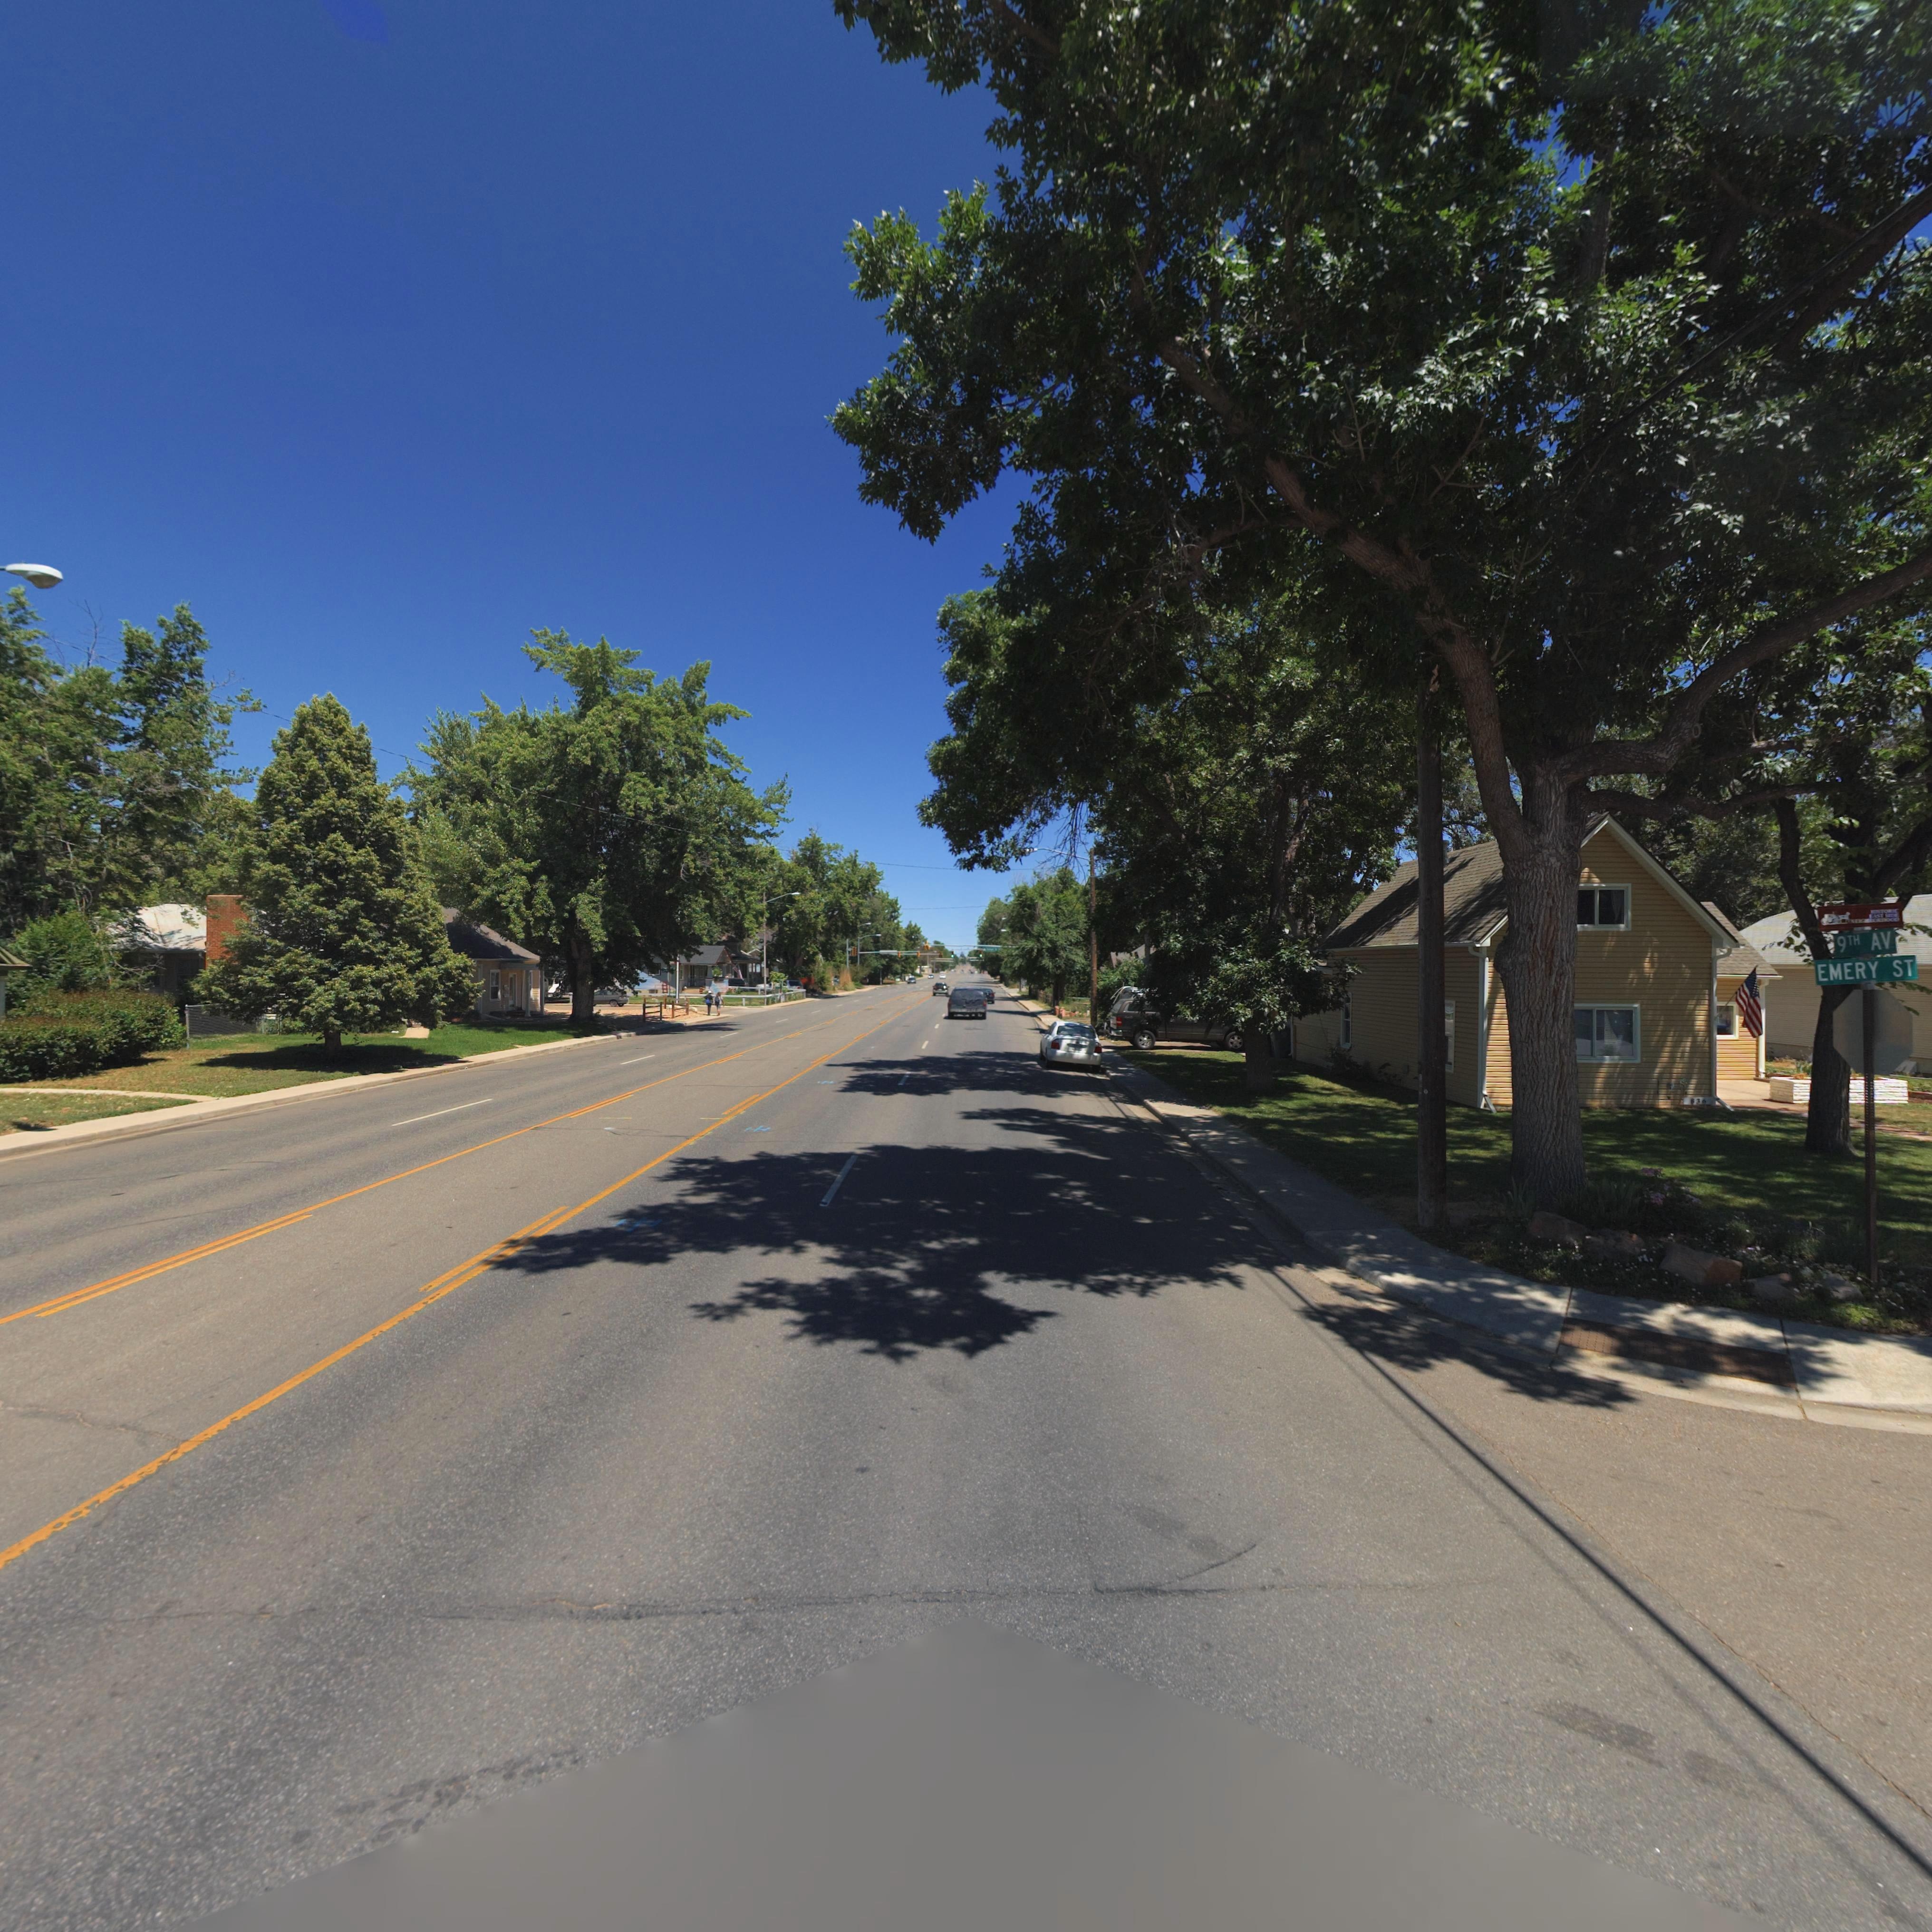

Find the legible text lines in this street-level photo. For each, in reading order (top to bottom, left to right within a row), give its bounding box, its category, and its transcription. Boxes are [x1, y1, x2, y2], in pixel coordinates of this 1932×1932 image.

[1835, 930, 1891, 954] StreetName: 9TH AV
[1816, 958, 1914, 982] StreetName: EMERY ST